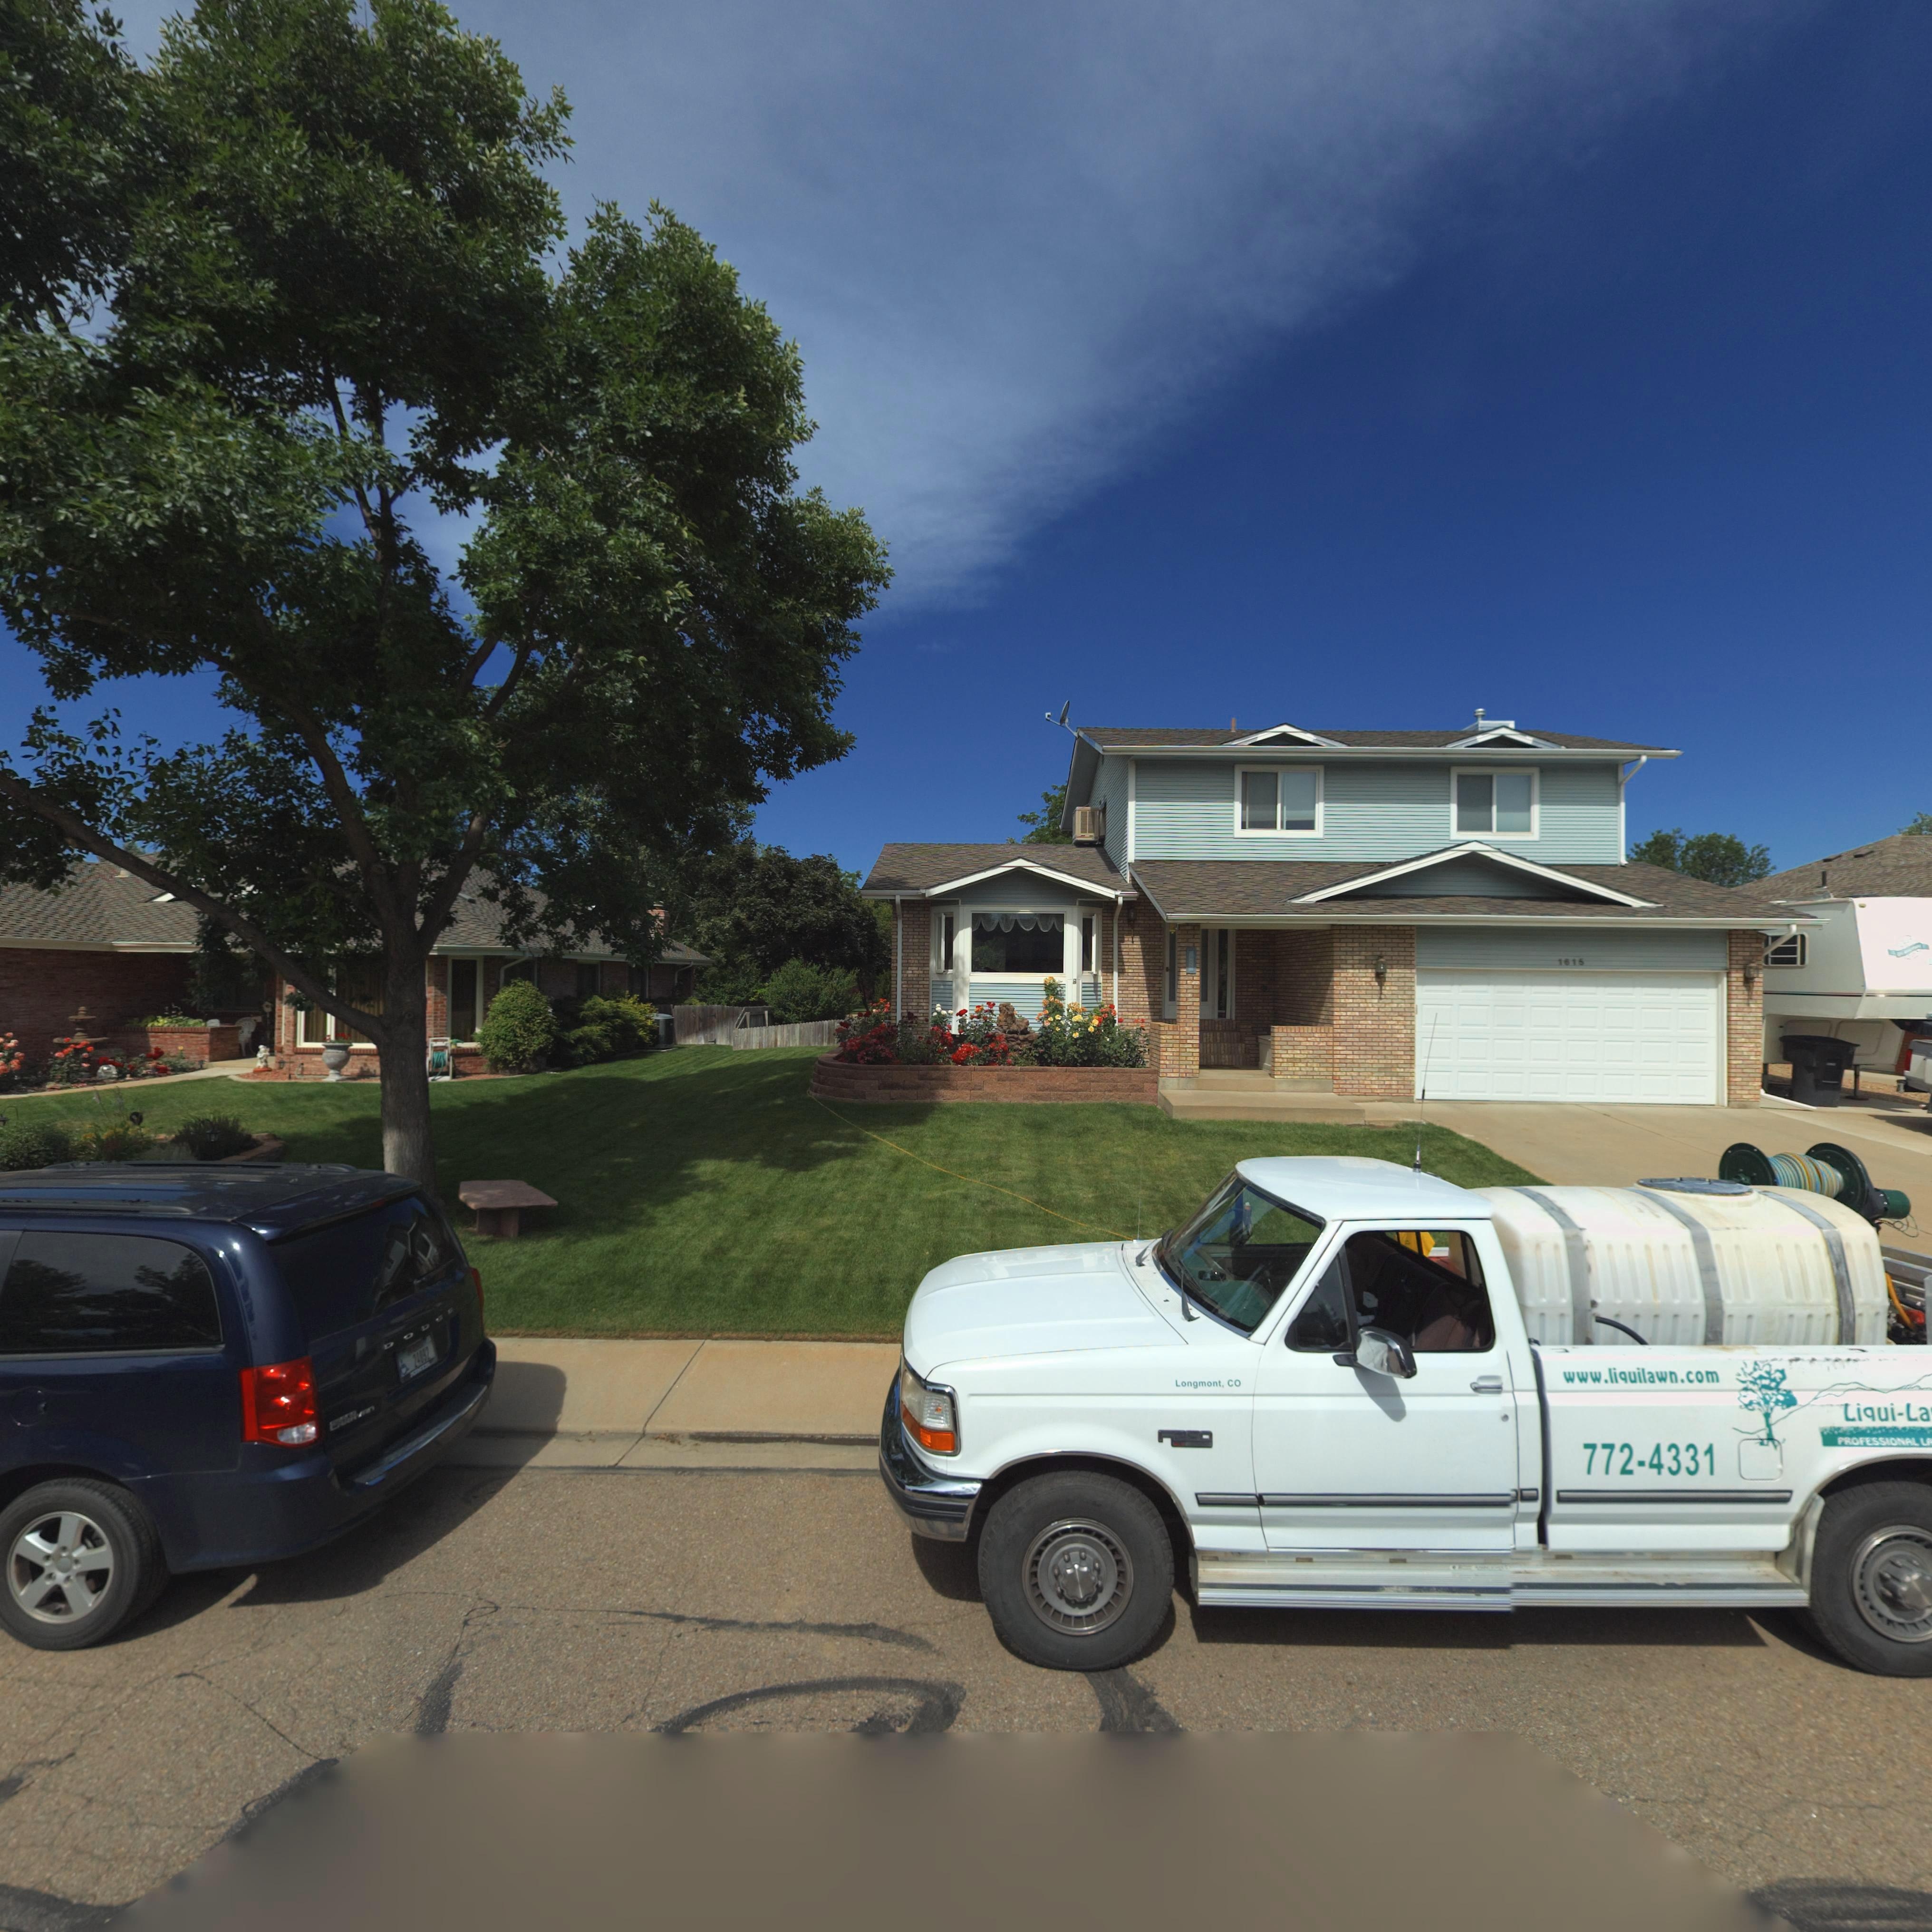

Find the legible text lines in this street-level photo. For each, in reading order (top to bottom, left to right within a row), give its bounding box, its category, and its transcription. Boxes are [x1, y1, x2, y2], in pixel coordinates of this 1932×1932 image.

[1557, 957, 1584, 966] StreetNumber: 1615